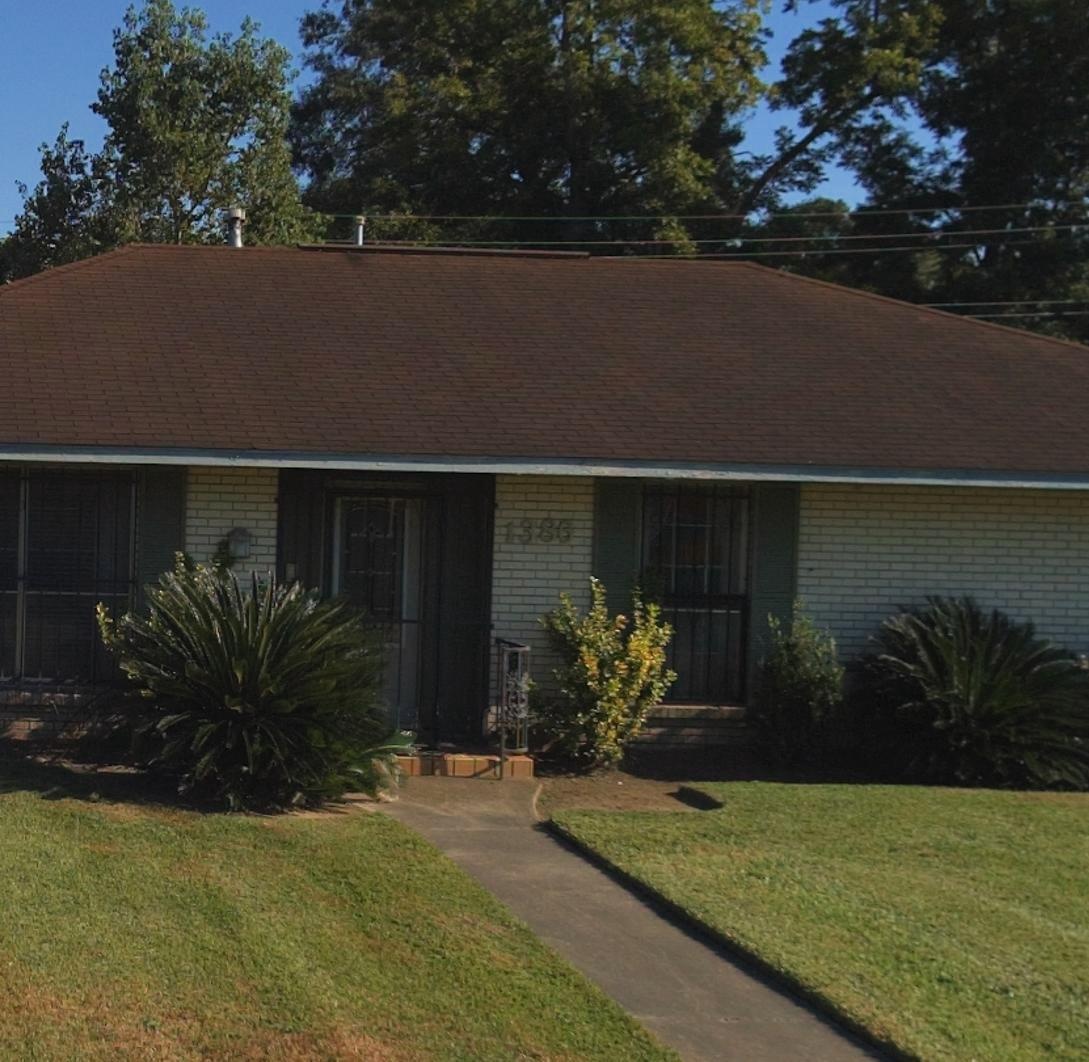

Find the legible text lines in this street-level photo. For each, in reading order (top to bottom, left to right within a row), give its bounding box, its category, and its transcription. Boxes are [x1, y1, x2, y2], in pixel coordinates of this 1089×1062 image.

[504, 518, 574, 544] StreetNumber: 1386